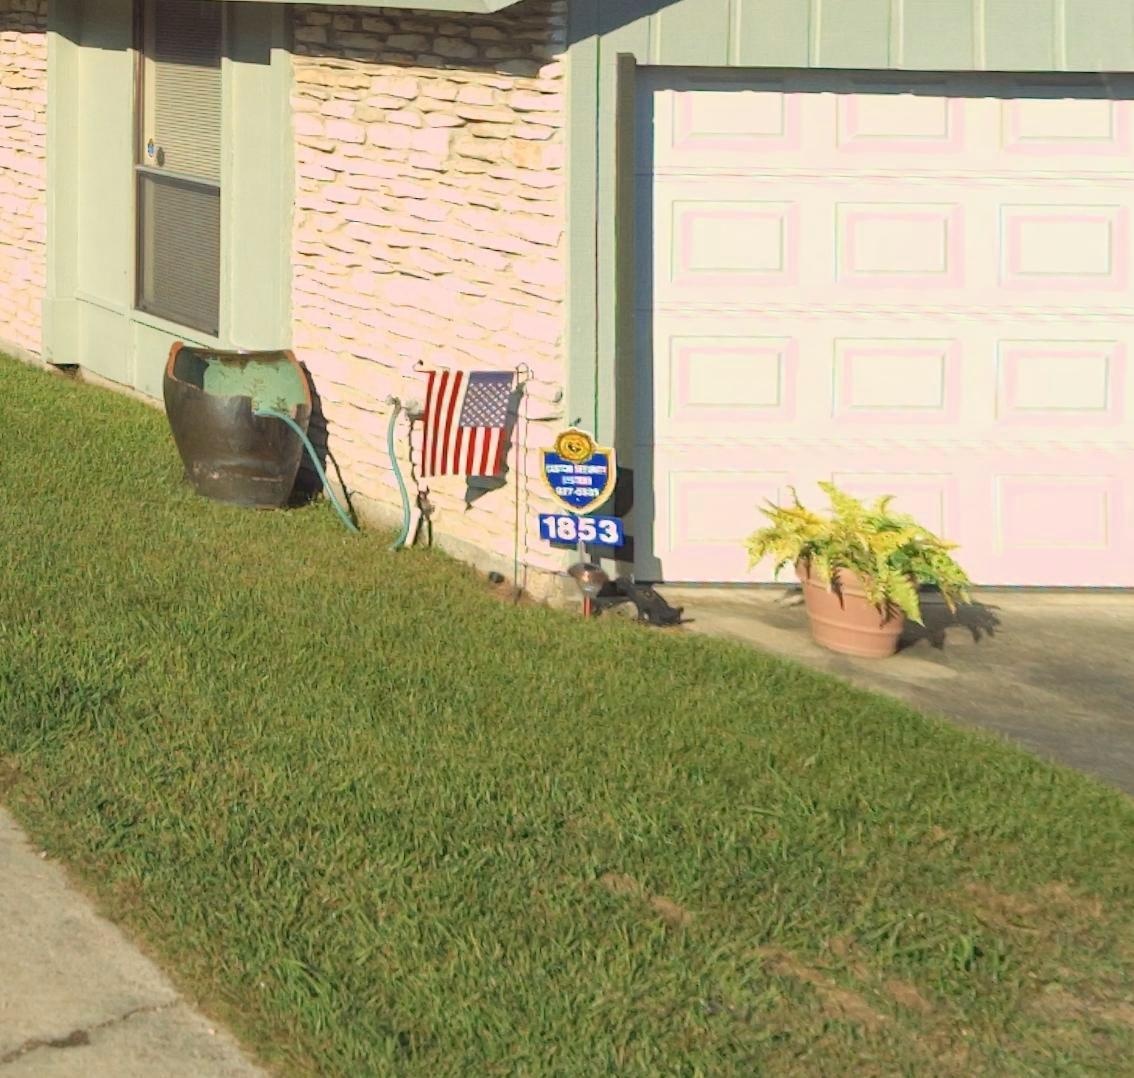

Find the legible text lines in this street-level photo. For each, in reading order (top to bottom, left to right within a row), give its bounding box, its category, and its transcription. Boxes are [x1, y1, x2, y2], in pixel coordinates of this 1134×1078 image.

[540, 513, 622, 547] StreetNumber: 1853